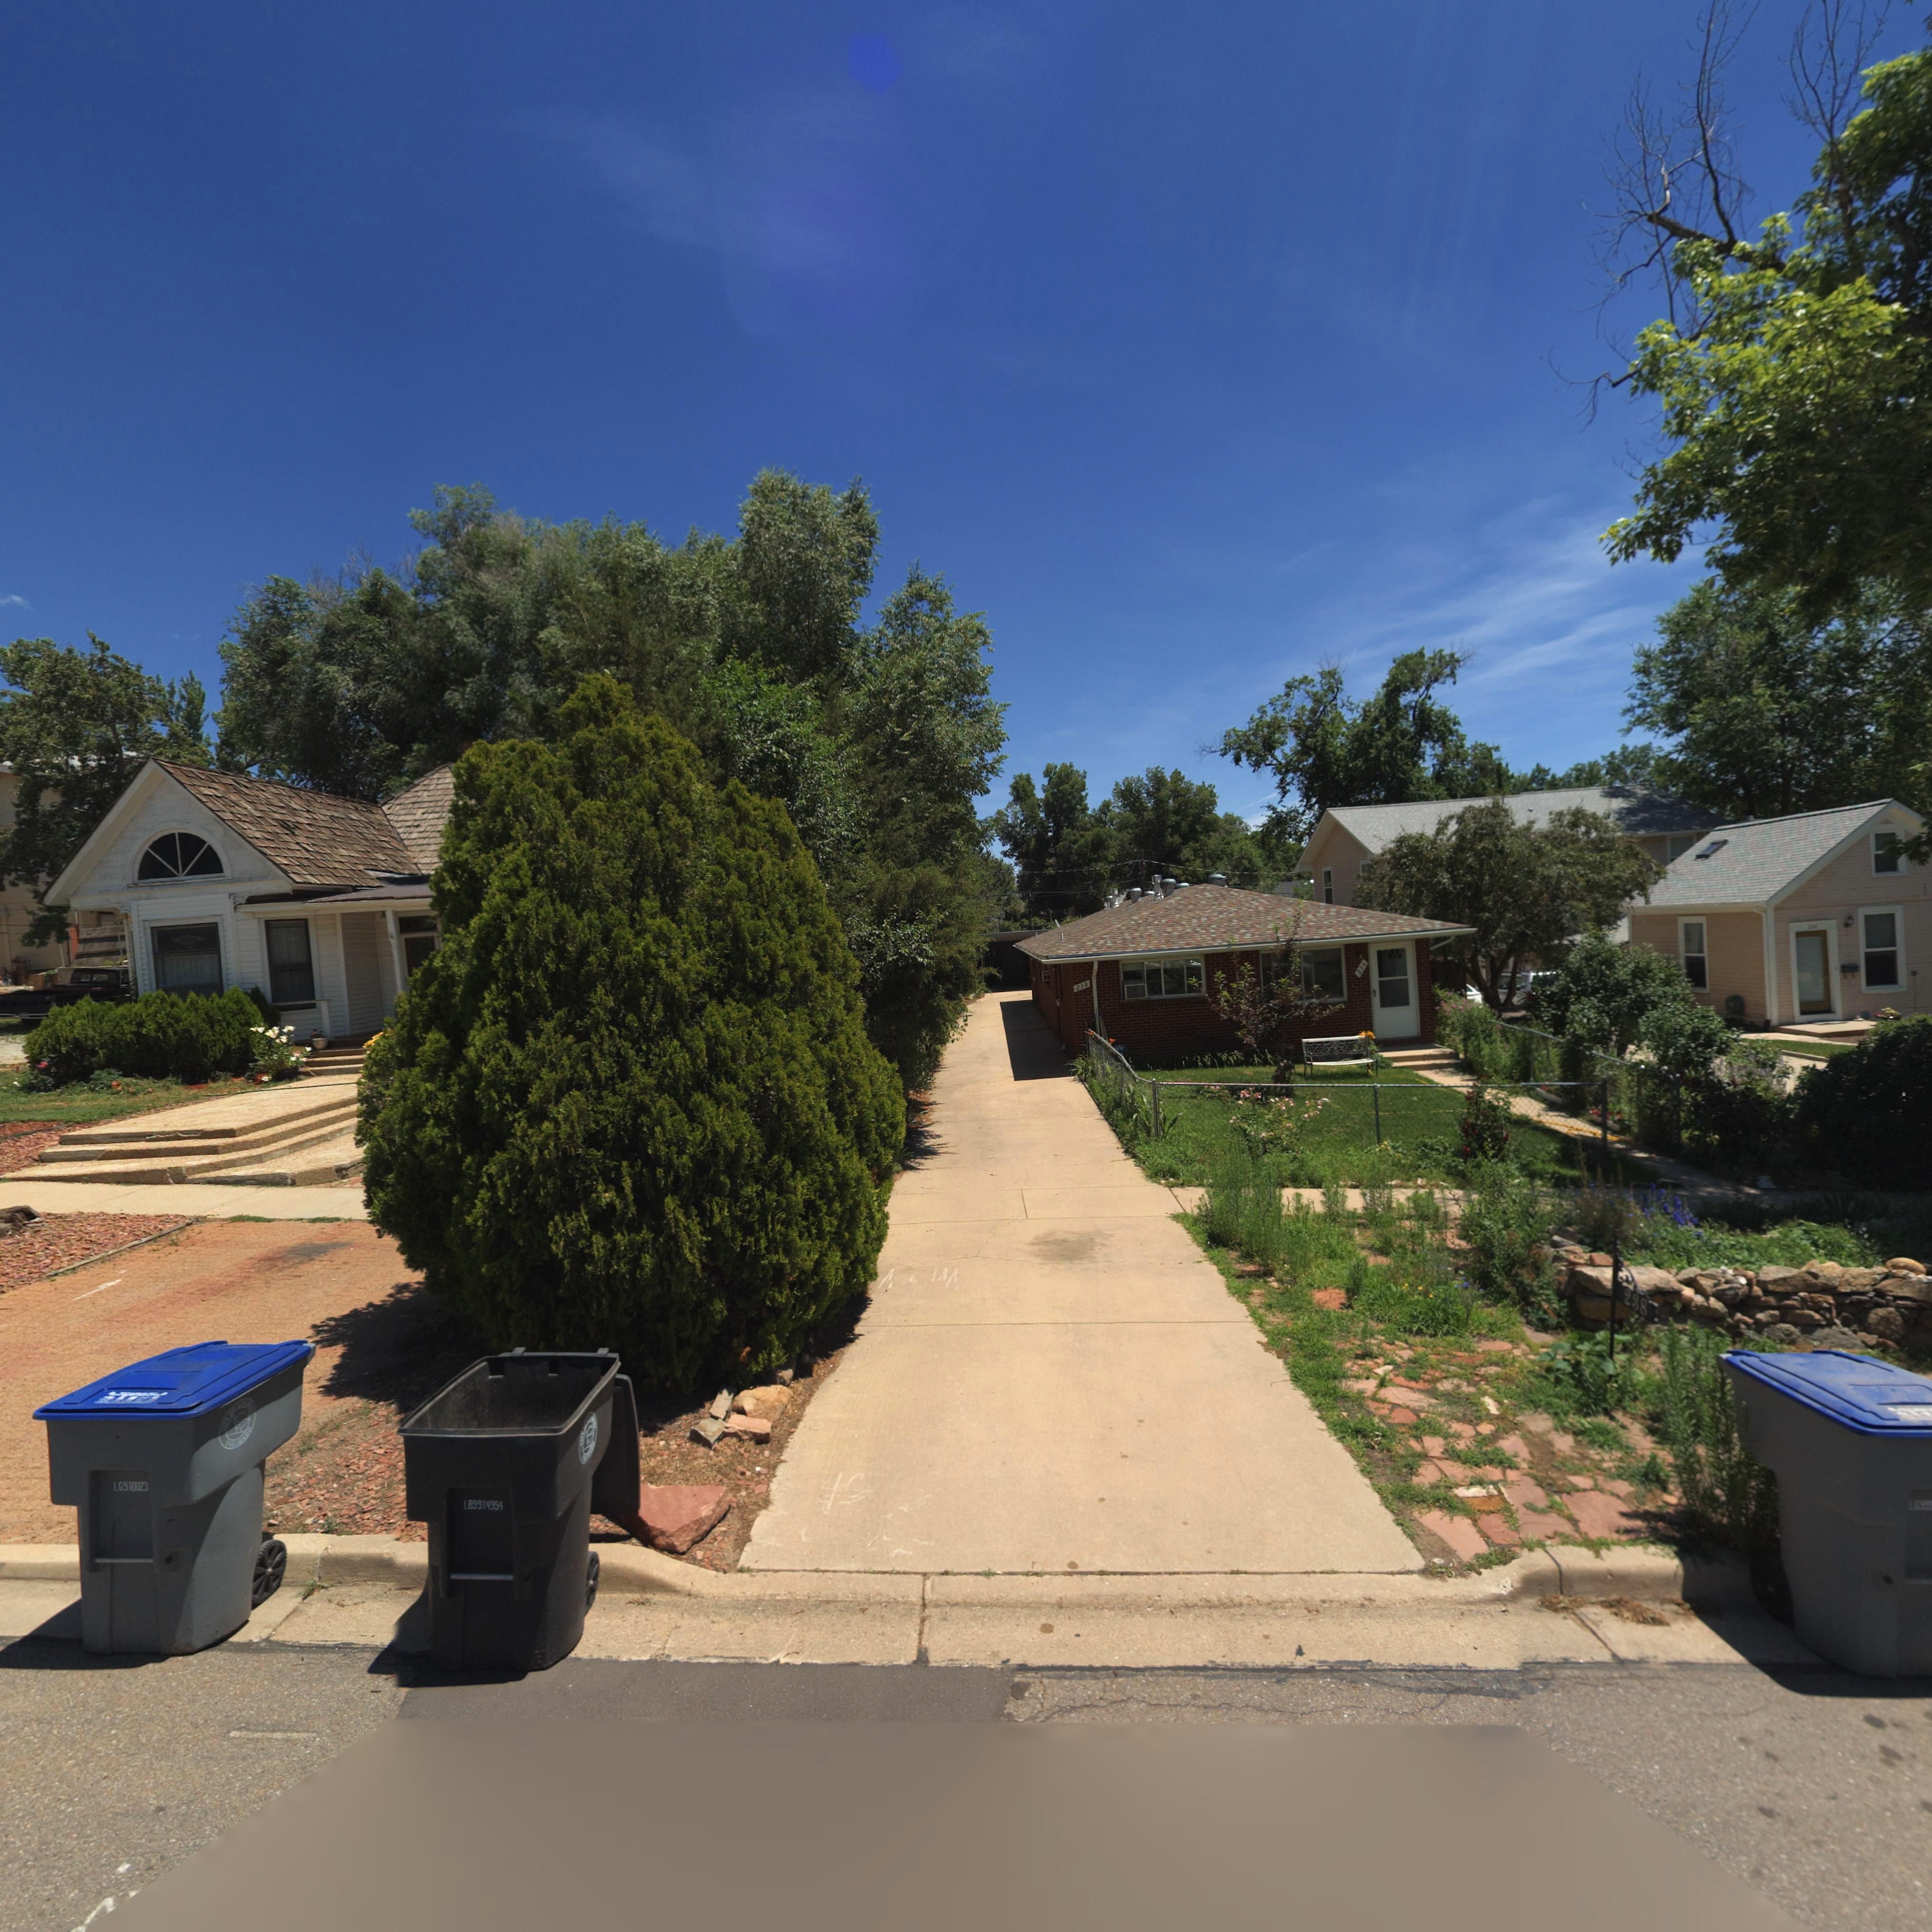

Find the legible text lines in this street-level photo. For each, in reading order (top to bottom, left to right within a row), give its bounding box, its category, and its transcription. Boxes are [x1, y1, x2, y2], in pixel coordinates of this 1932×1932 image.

[1355, 961, 1367, 975] StreetNumber: 236
[1075, 981, 1088, 991] StreetNumber: 238
[1623, 1286, 1648, 1317] StreetNumber: 238